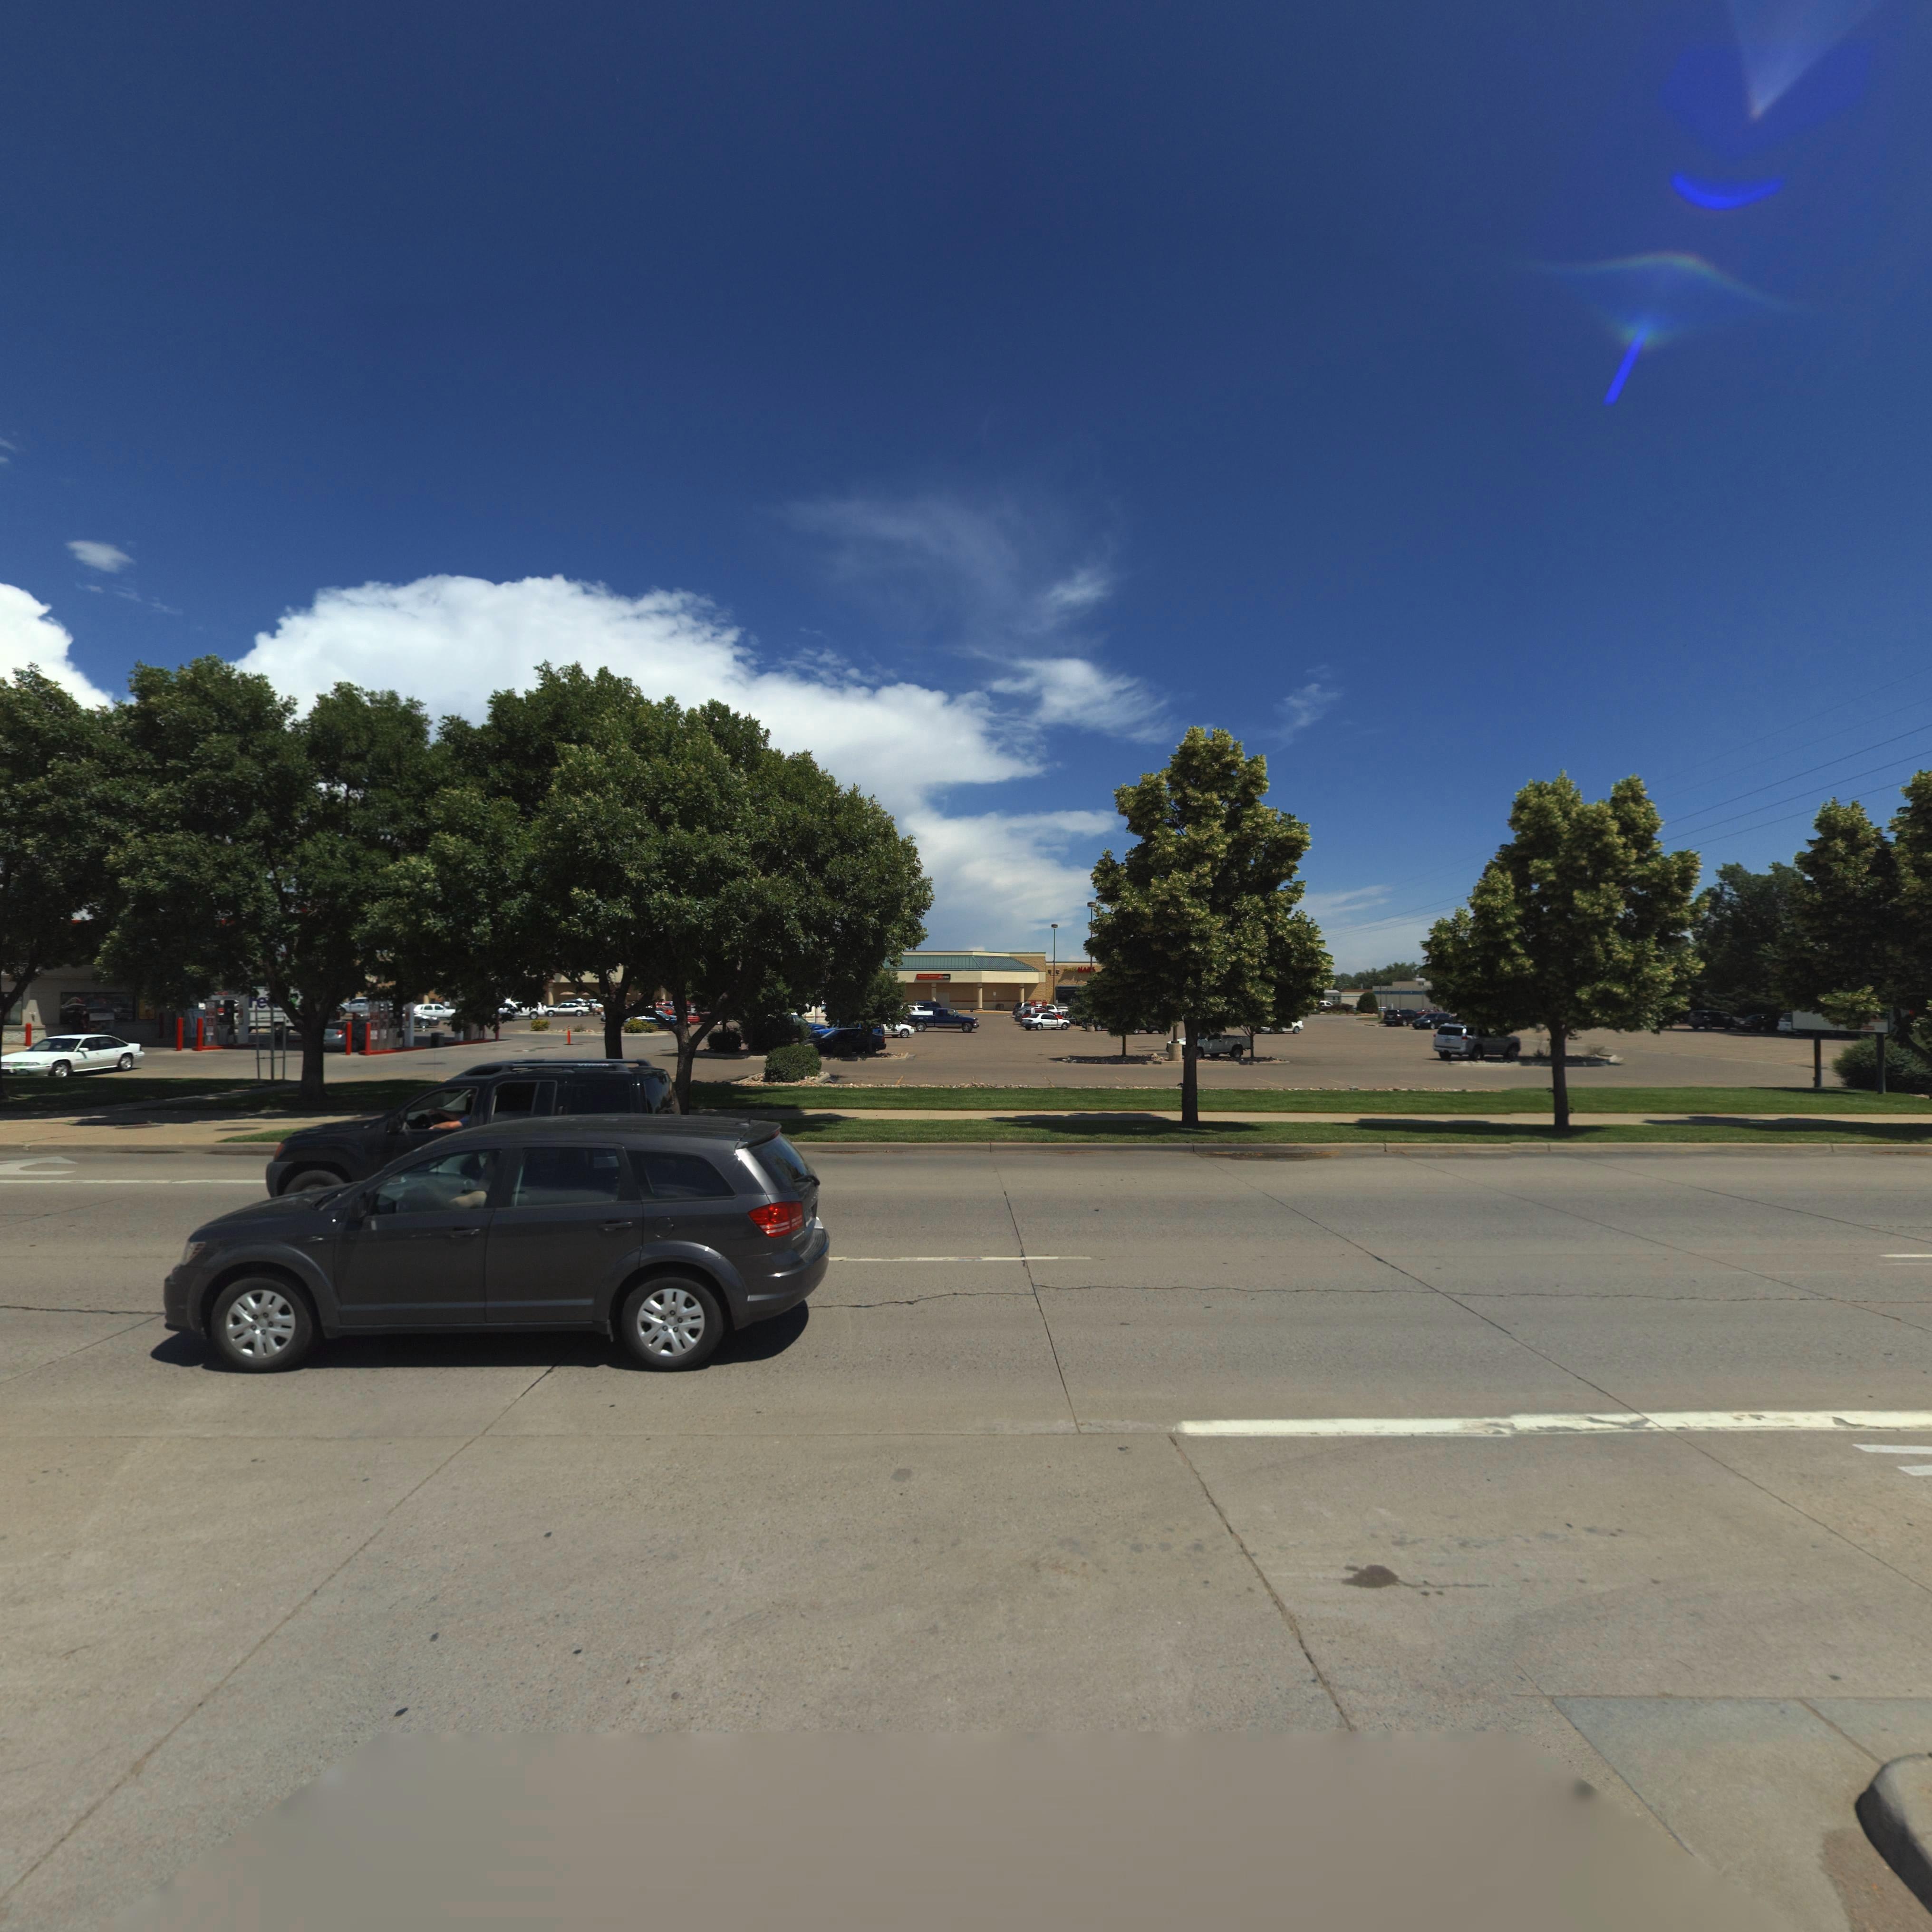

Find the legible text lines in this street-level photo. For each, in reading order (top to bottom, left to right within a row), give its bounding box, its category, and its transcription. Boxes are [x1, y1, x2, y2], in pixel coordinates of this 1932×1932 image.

[1063, 966, 1096, 973] BusinessName: S**** NAI*S